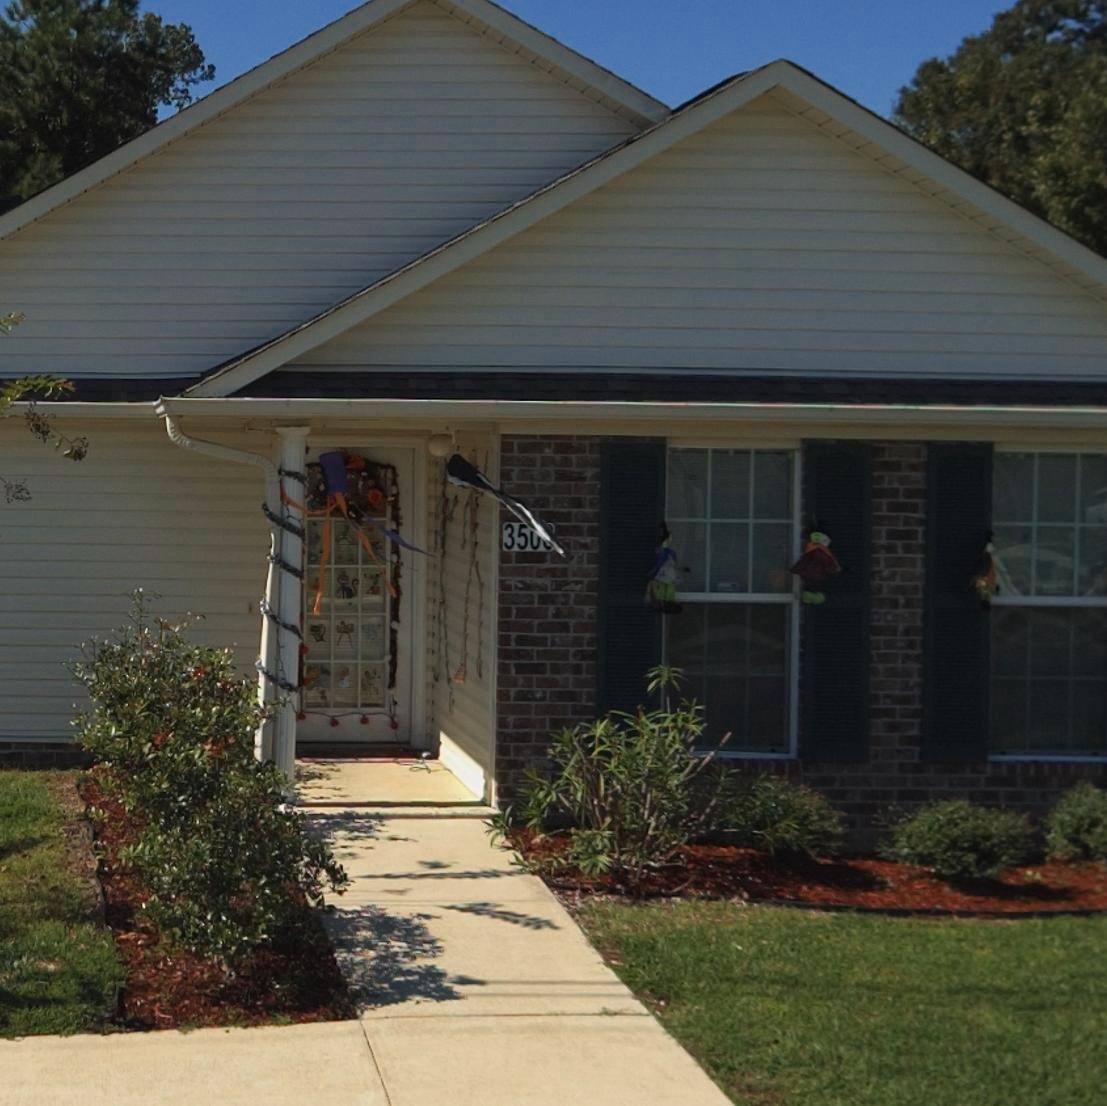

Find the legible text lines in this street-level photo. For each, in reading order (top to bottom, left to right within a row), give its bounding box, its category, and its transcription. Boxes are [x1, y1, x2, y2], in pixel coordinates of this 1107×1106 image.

[504, 522, 555, 551] StreetNumber: 35**